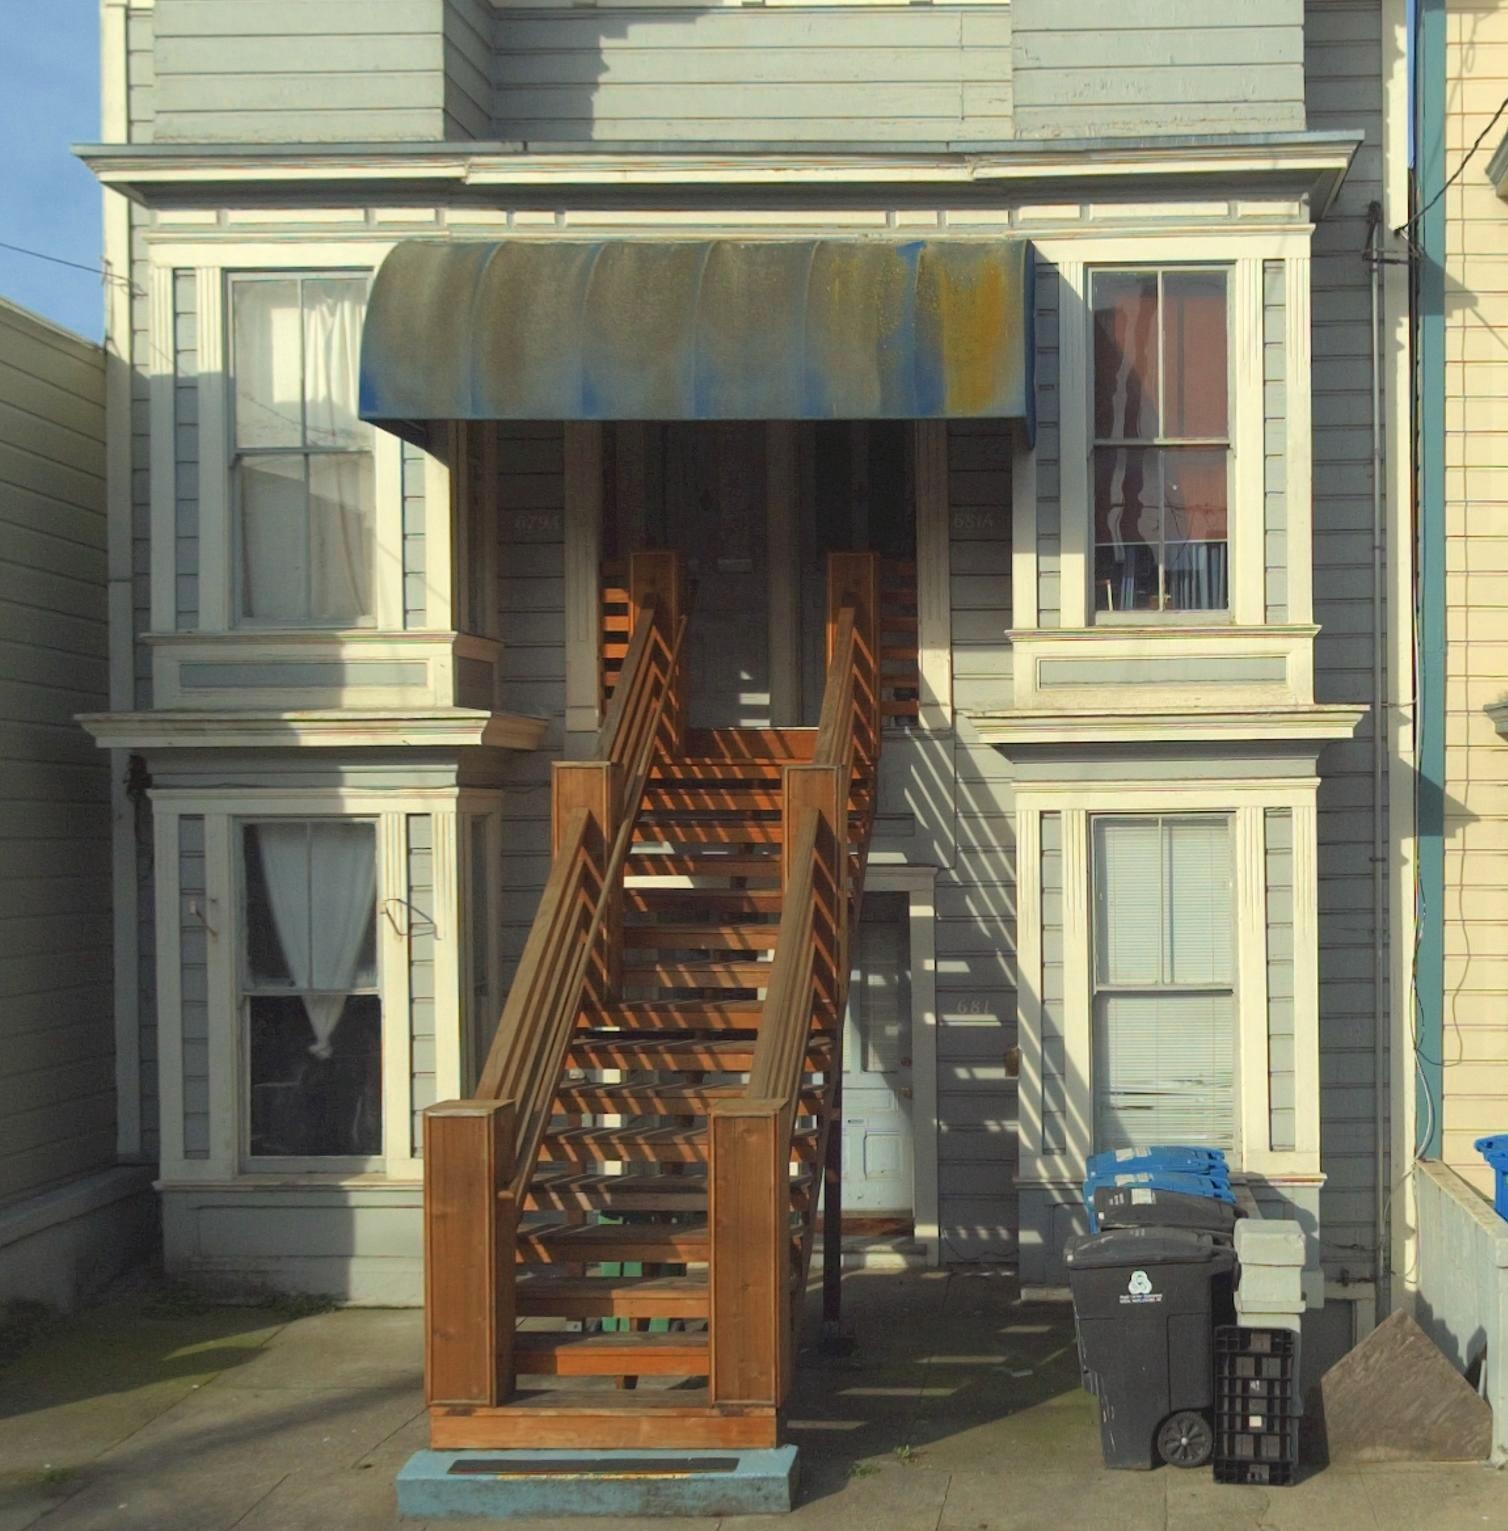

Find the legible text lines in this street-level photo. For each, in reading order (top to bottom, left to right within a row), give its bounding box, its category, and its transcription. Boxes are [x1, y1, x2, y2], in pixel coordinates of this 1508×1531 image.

[514, 513, 562, 532] StreetNumber: 679A
[950, 510, 996, 532] StreetNumber: 681 A
[954, 996, 991, 1017] StreetNumber: 681